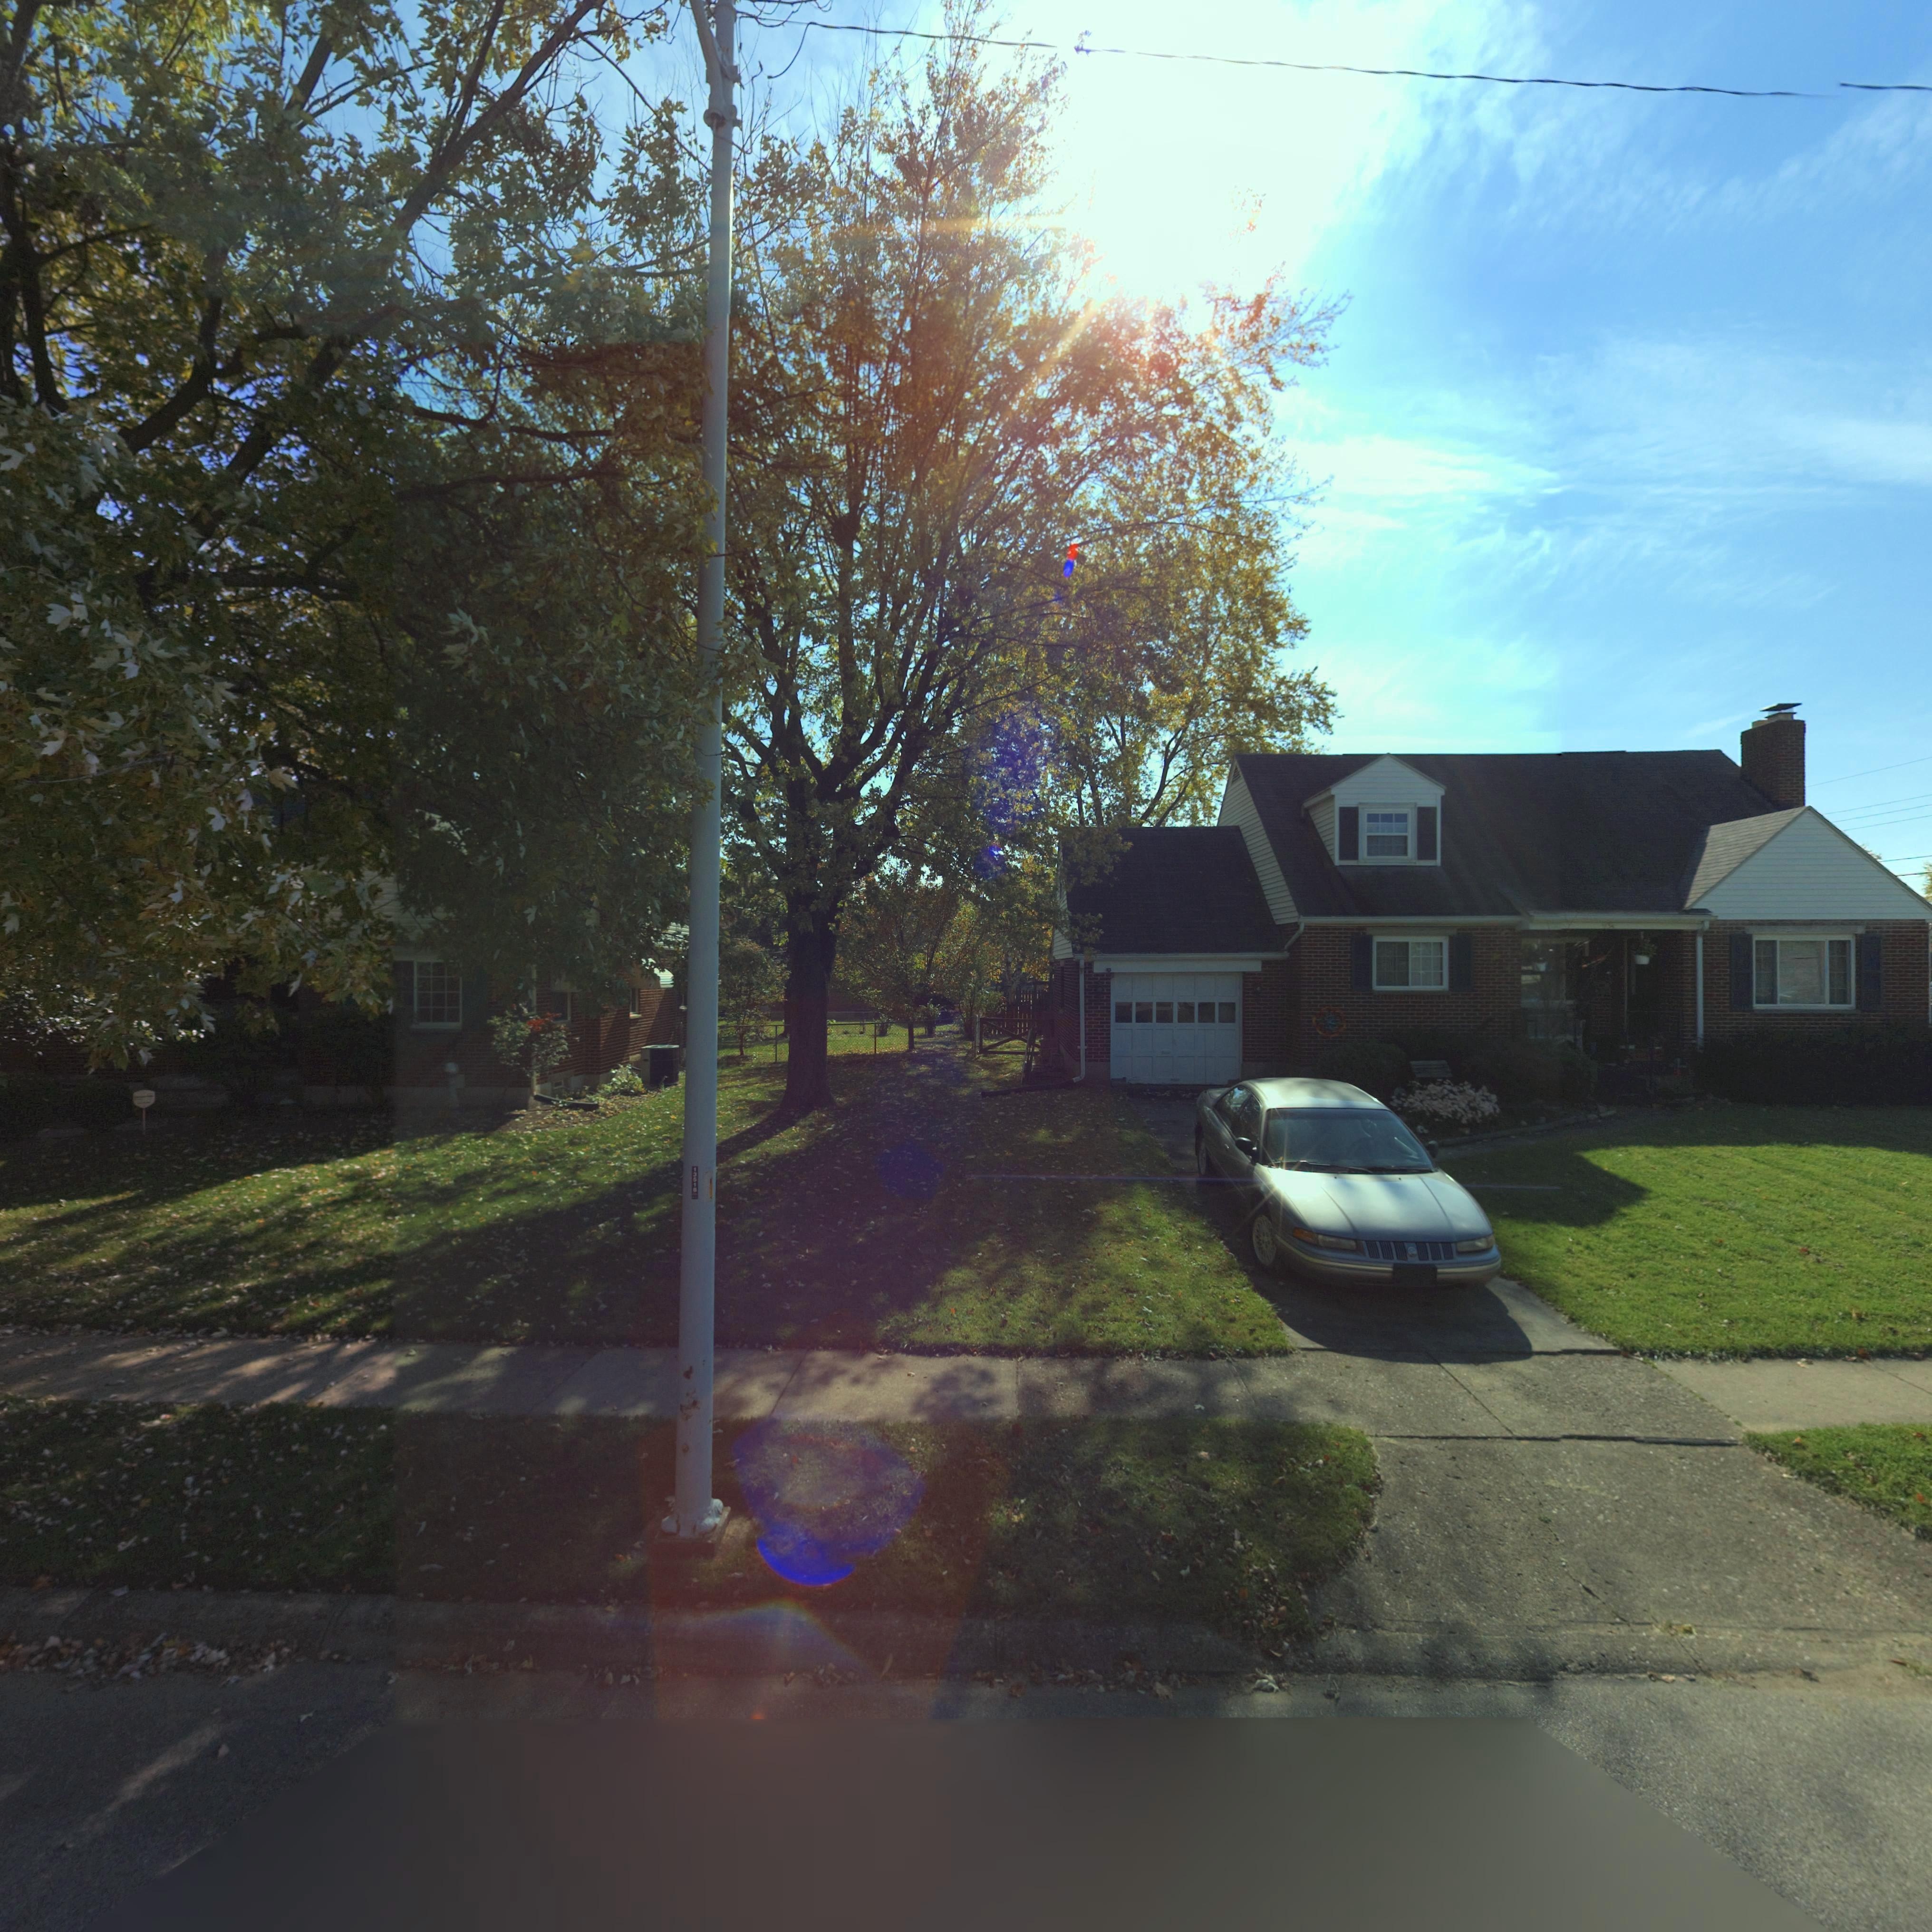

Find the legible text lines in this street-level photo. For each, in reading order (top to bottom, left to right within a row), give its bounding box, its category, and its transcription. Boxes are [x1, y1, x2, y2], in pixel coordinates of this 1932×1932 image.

[692, 1166, 698, 1193] None: 1351*